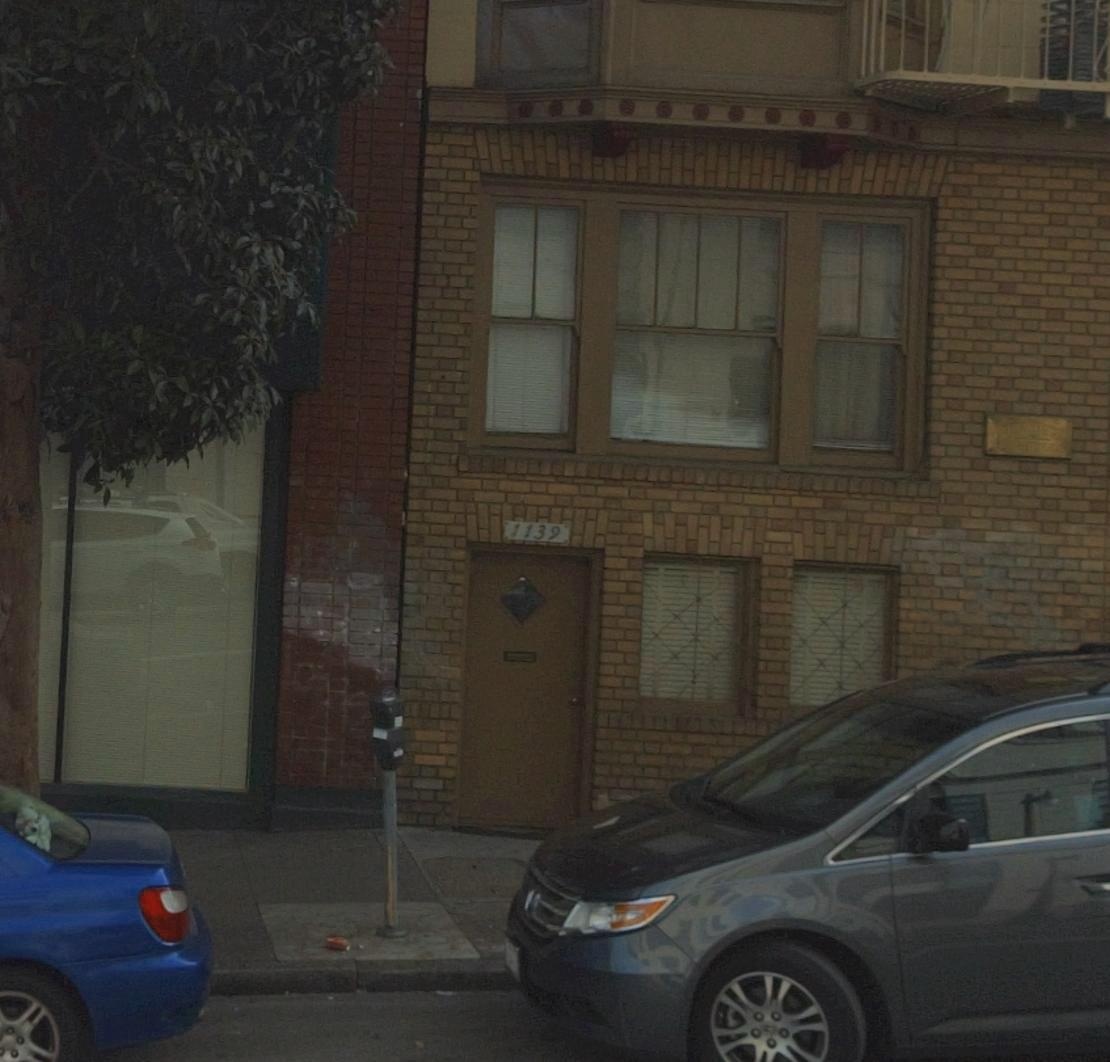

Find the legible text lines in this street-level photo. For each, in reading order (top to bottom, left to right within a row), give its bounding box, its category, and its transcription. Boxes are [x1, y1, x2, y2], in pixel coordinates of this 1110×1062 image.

[508, 521, 563, 543] StreetNumber: 1139